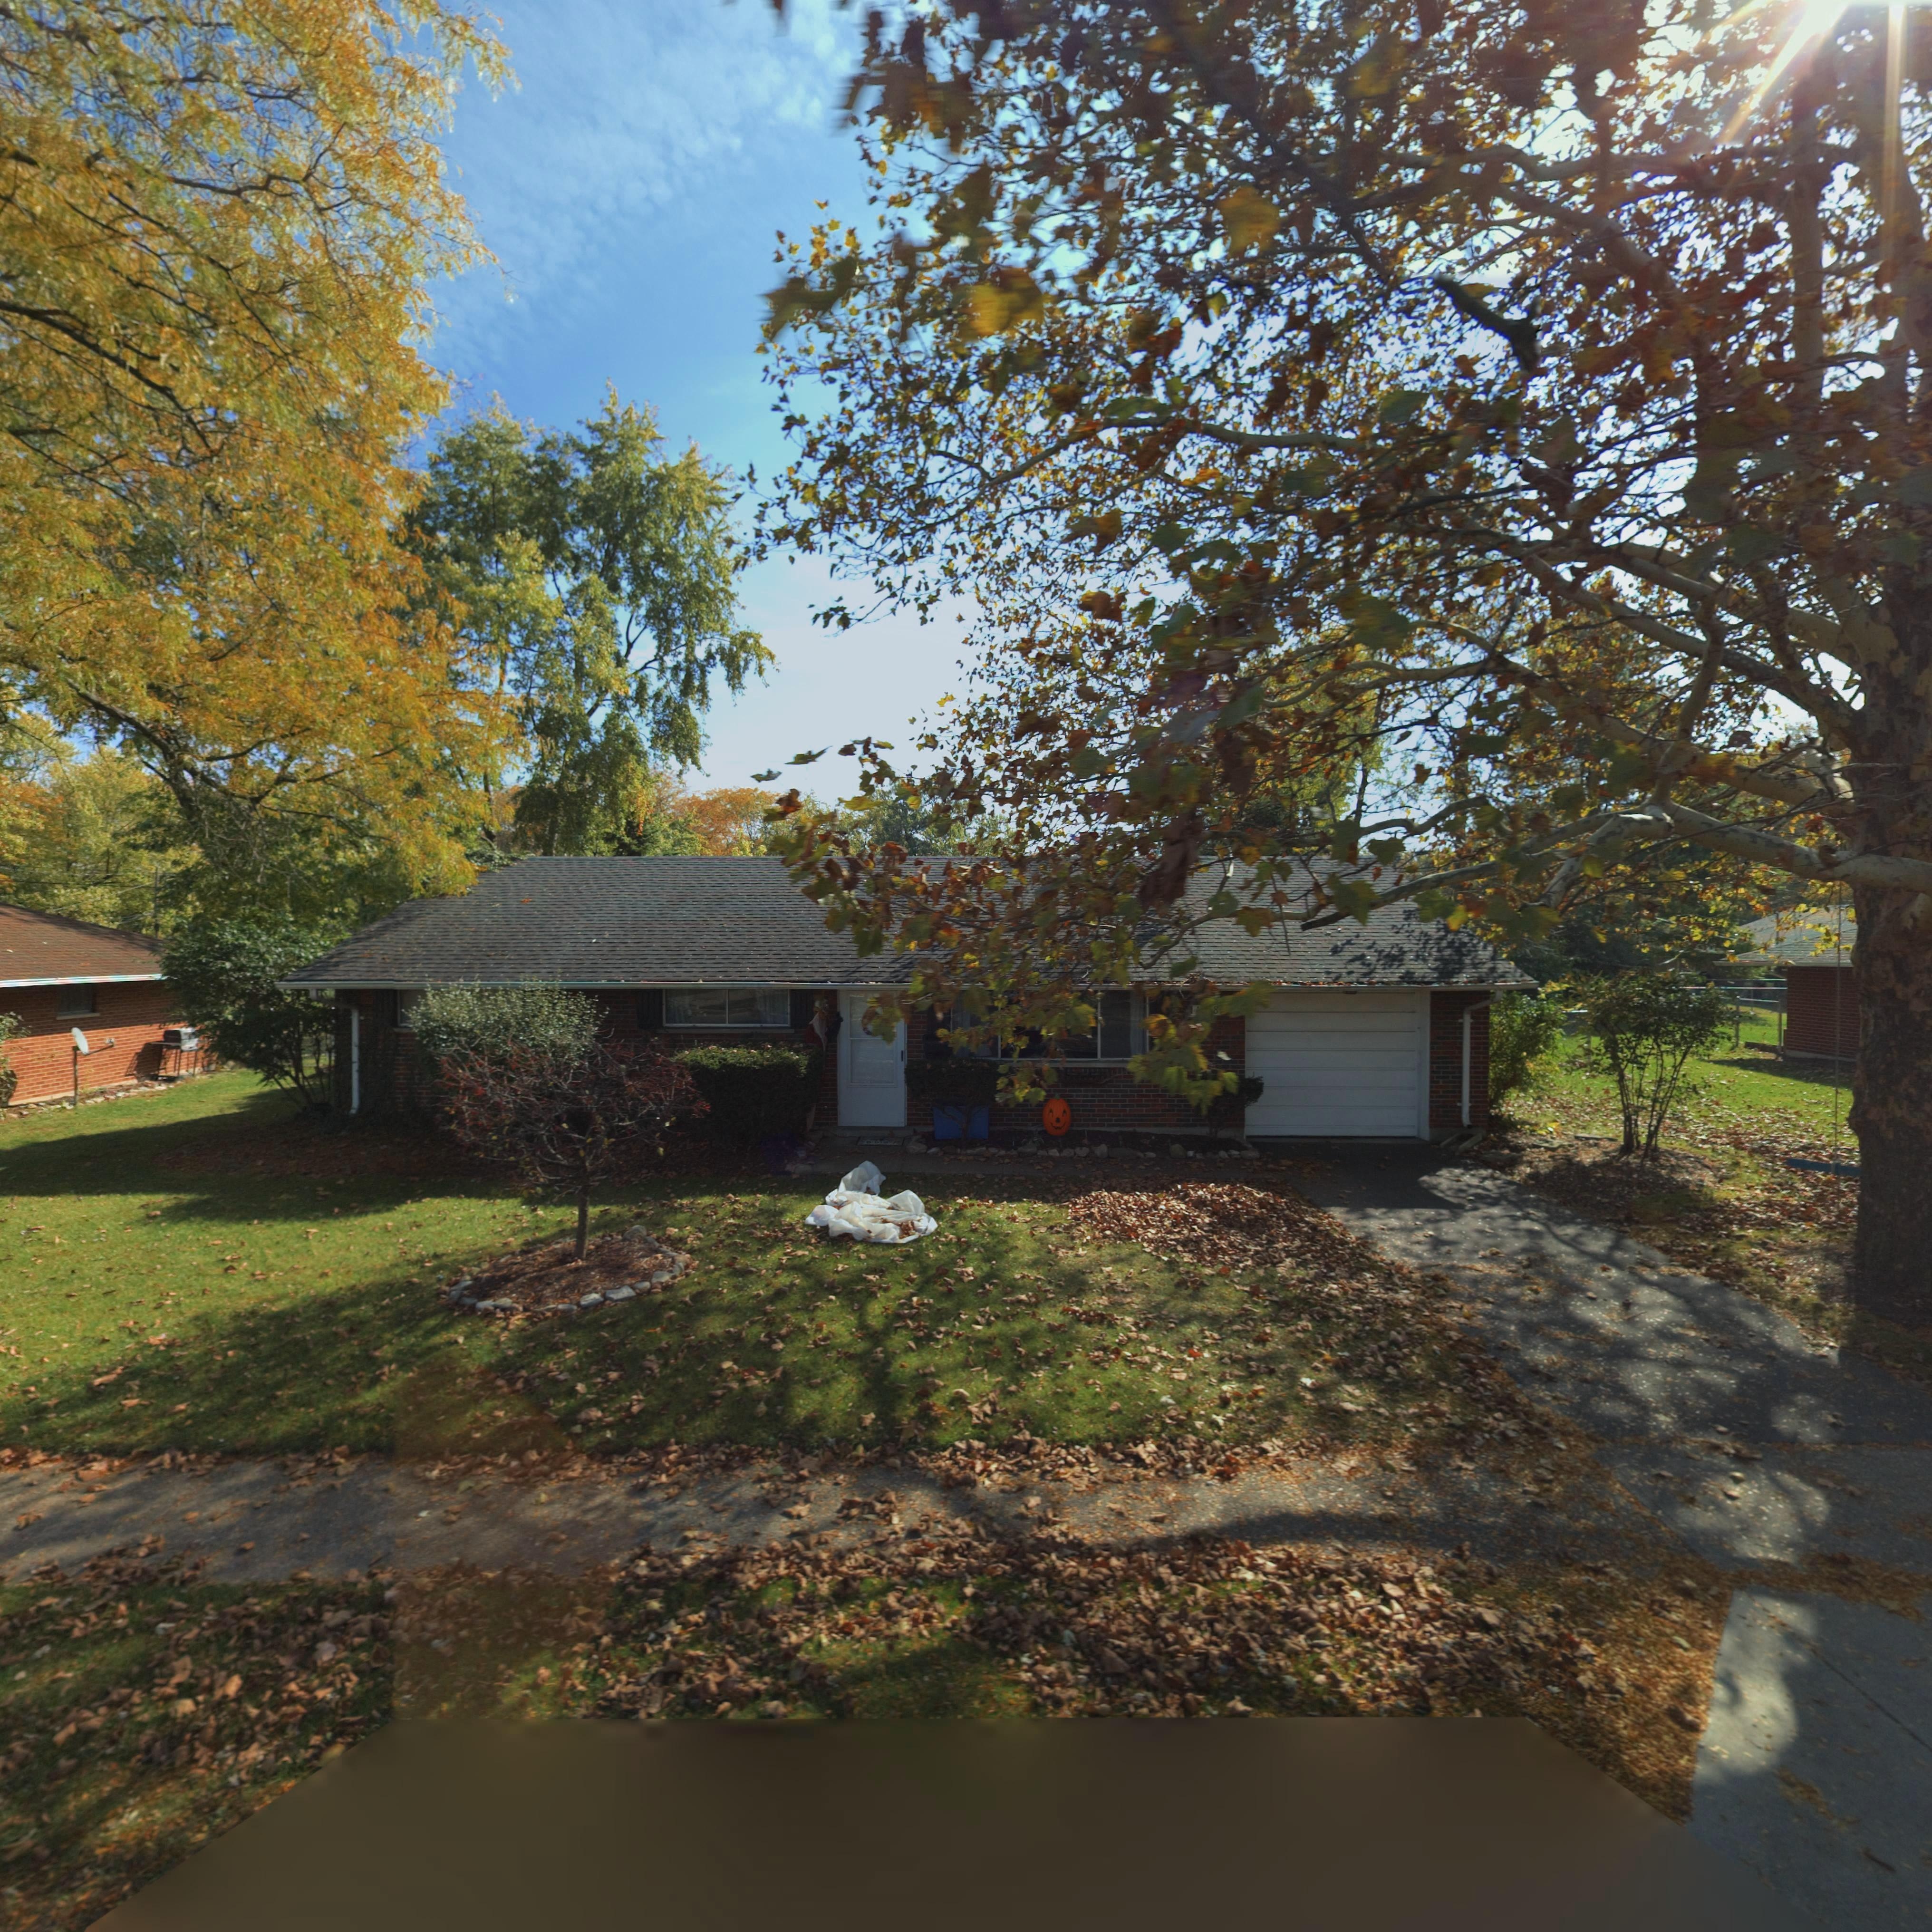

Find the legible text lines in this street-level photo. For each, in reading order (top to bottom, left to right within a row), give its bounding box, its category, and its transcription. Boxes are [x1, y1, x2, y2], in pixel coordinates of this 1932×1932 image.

[1212, 1005, 1219, 1015] StreetNumber: 8